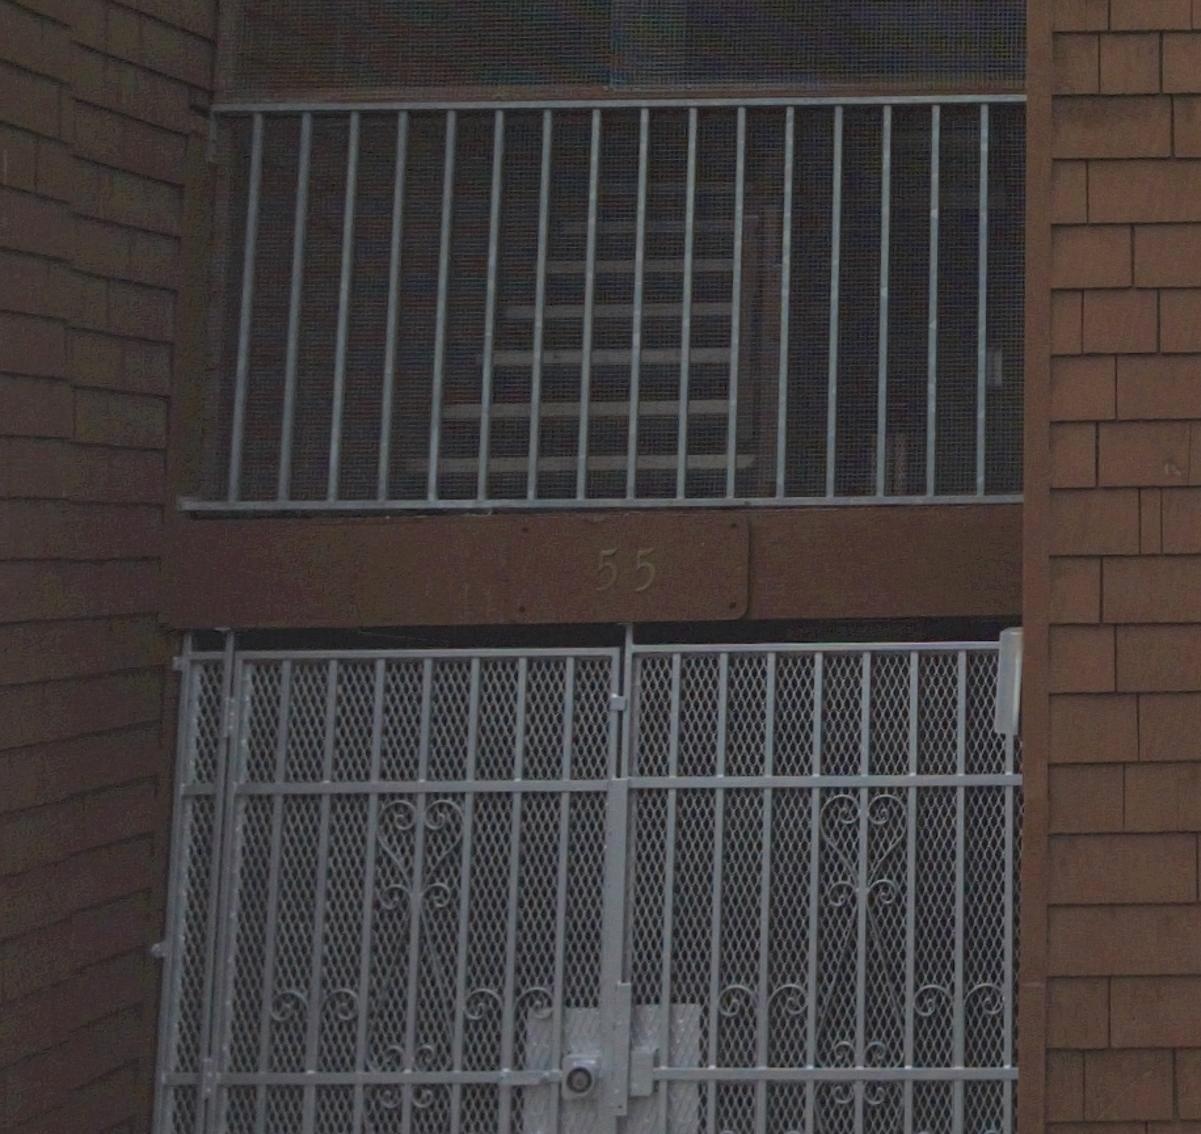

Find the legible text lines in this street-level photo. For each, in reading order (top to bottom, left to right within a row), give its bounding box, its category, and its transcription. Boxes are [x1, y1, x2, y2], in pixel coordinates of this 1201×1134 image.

[593, 544, 661, 597] StreetNumber: 55